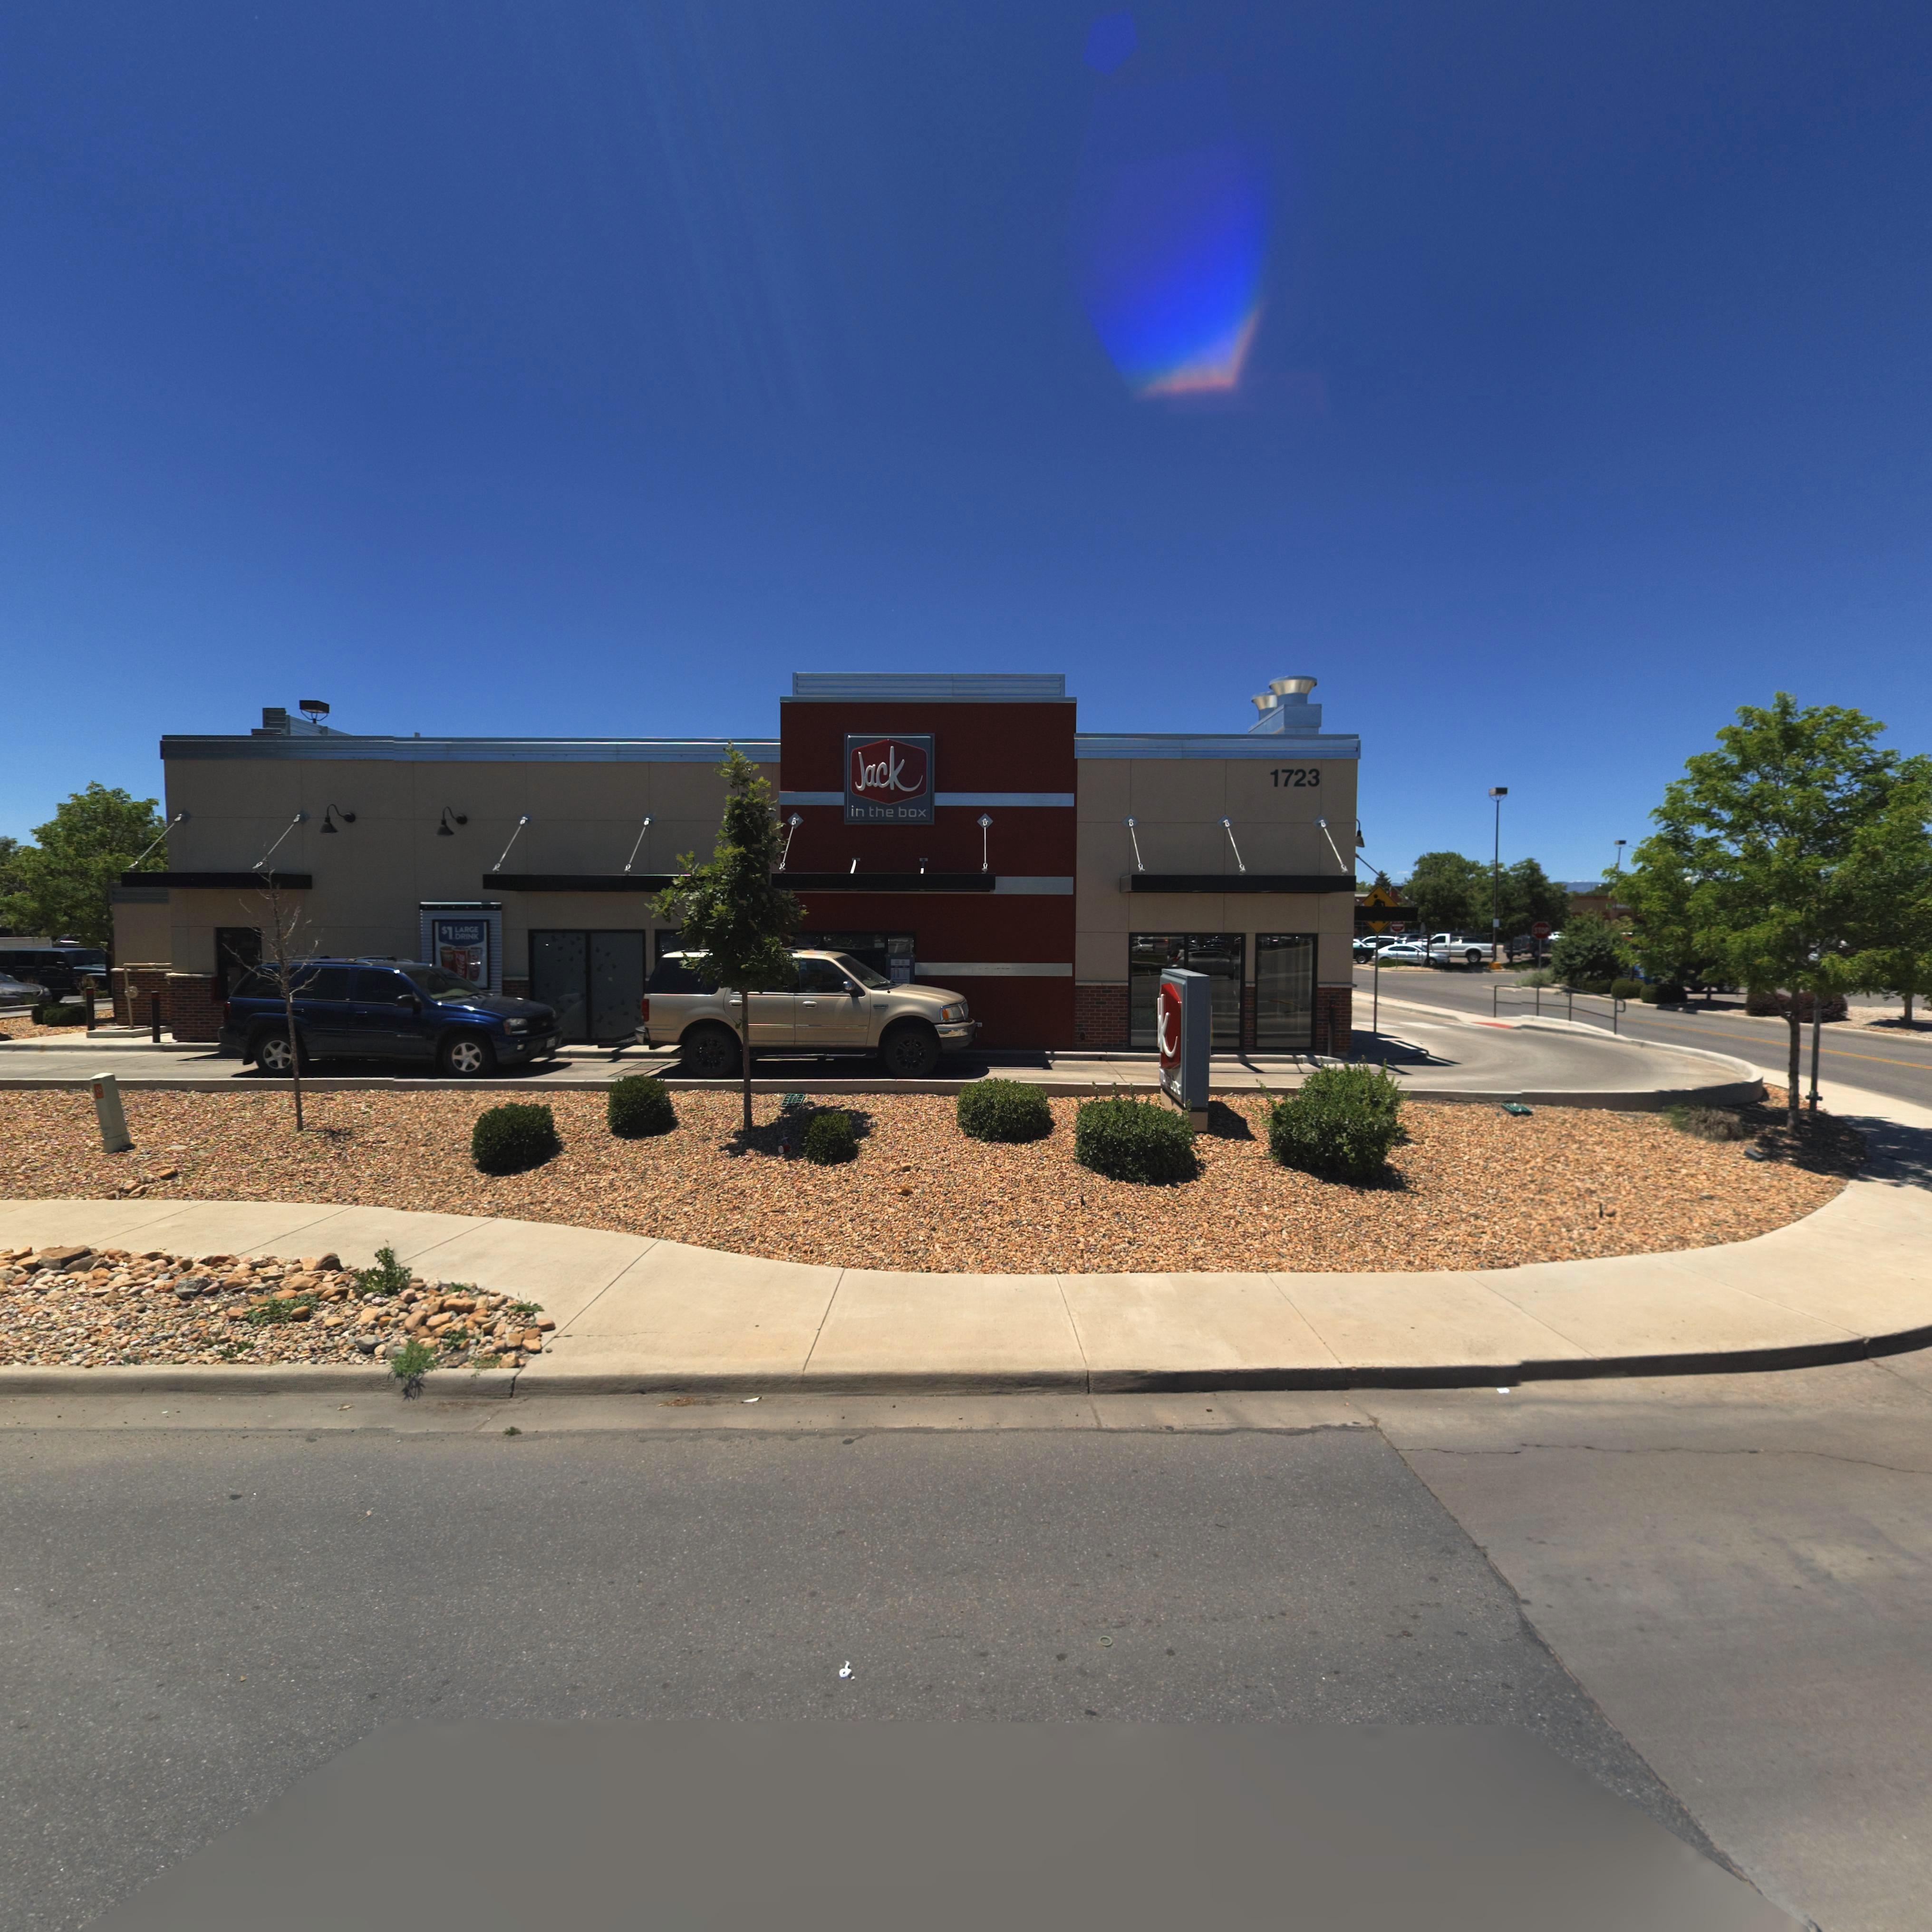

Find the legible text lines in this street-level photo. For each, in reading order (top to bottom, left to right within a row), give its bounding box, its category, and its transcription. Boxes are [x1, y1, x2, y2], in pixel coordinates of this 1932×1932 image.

[853, 744, 924, 793] BusinessName: Jack
[1269, 768, 1320, 788] StreetNumber: 1723
[850, 804, 927, 818] BusinessName: in the box
[1156, 993, 1178, 1058] BusinessName: *k
[1158, 1063, 1181, 1096] BusinessName: in the box